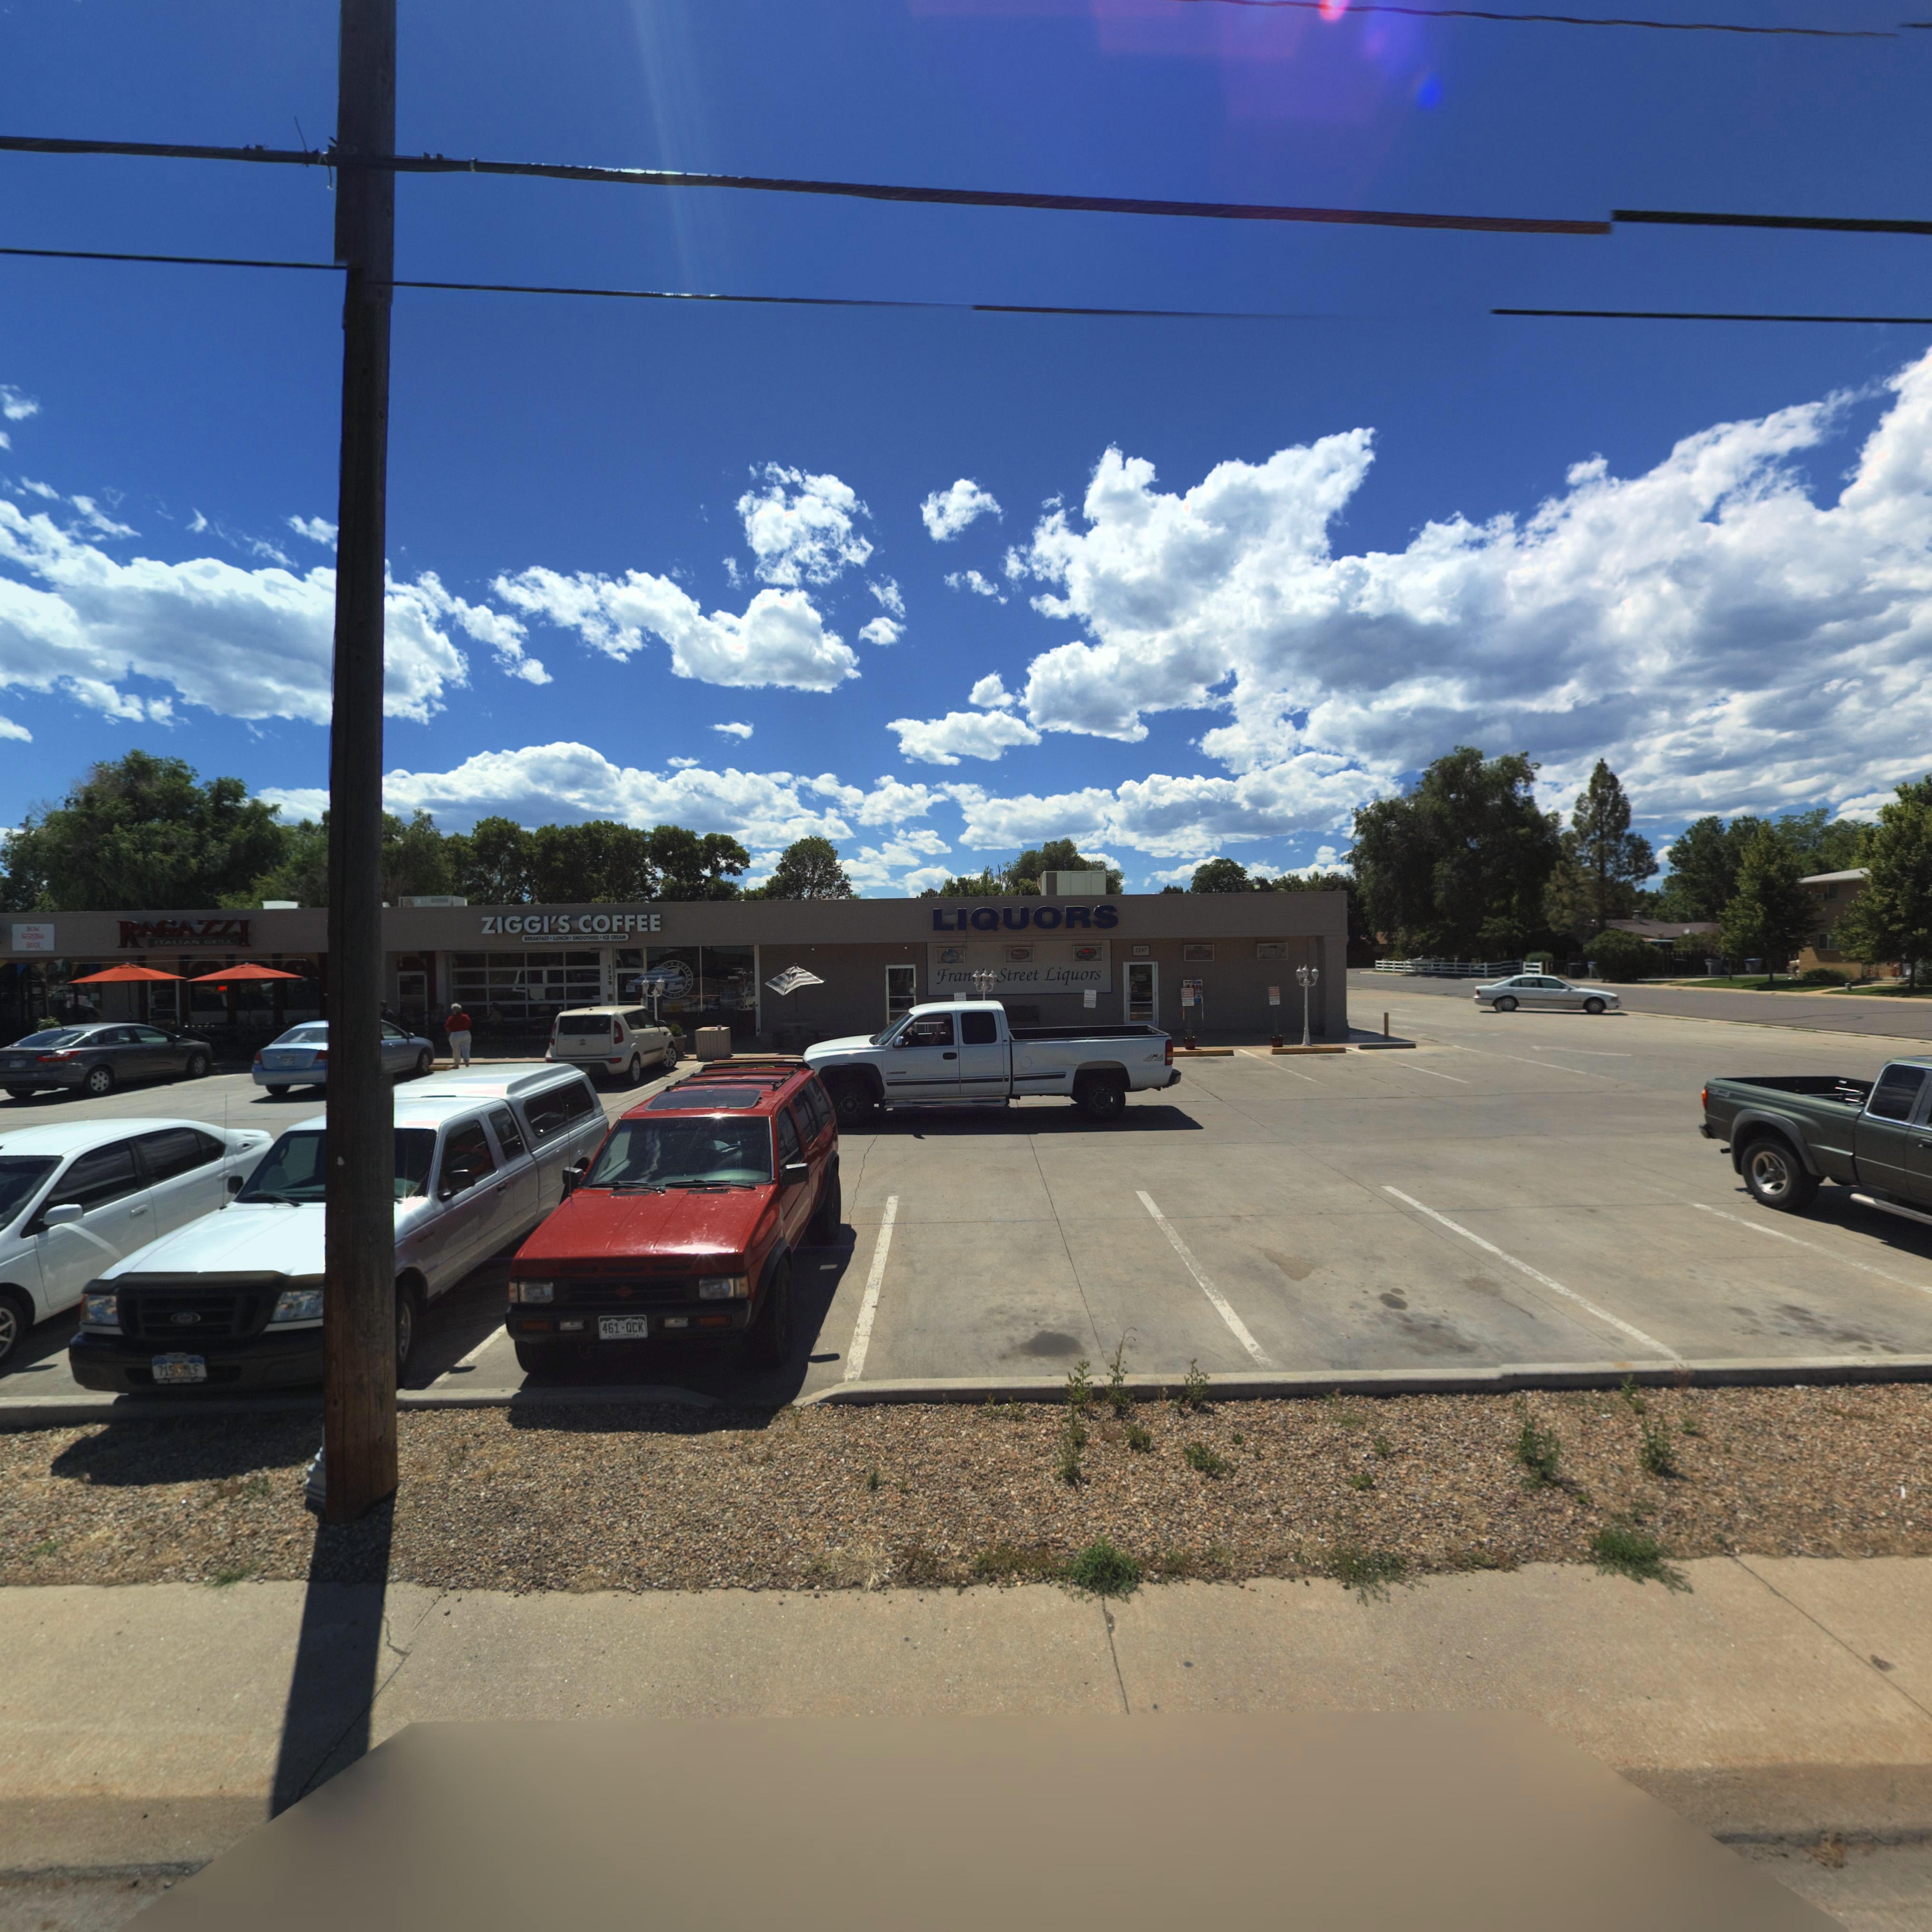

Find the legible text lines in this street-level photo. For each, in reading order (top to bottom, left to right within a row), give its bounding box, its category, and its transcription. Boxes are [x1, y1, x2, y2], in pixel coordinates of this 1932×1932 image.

[117, 918, 251, 948] BusinessName: RAGAZZI
[481, 914, 661, 935] BusinessName: ZIGGI'S COFFEE
[1135, 947, 1147, 952] StreetNumber: 1147
[608, 964, 612, 986] StreetNumber: 1139
[661, 961, 691, 982] BusinessName: GI'S COFFI*
[935, 966, 1102, 986] BusinessName: Fran*** Street Liquors